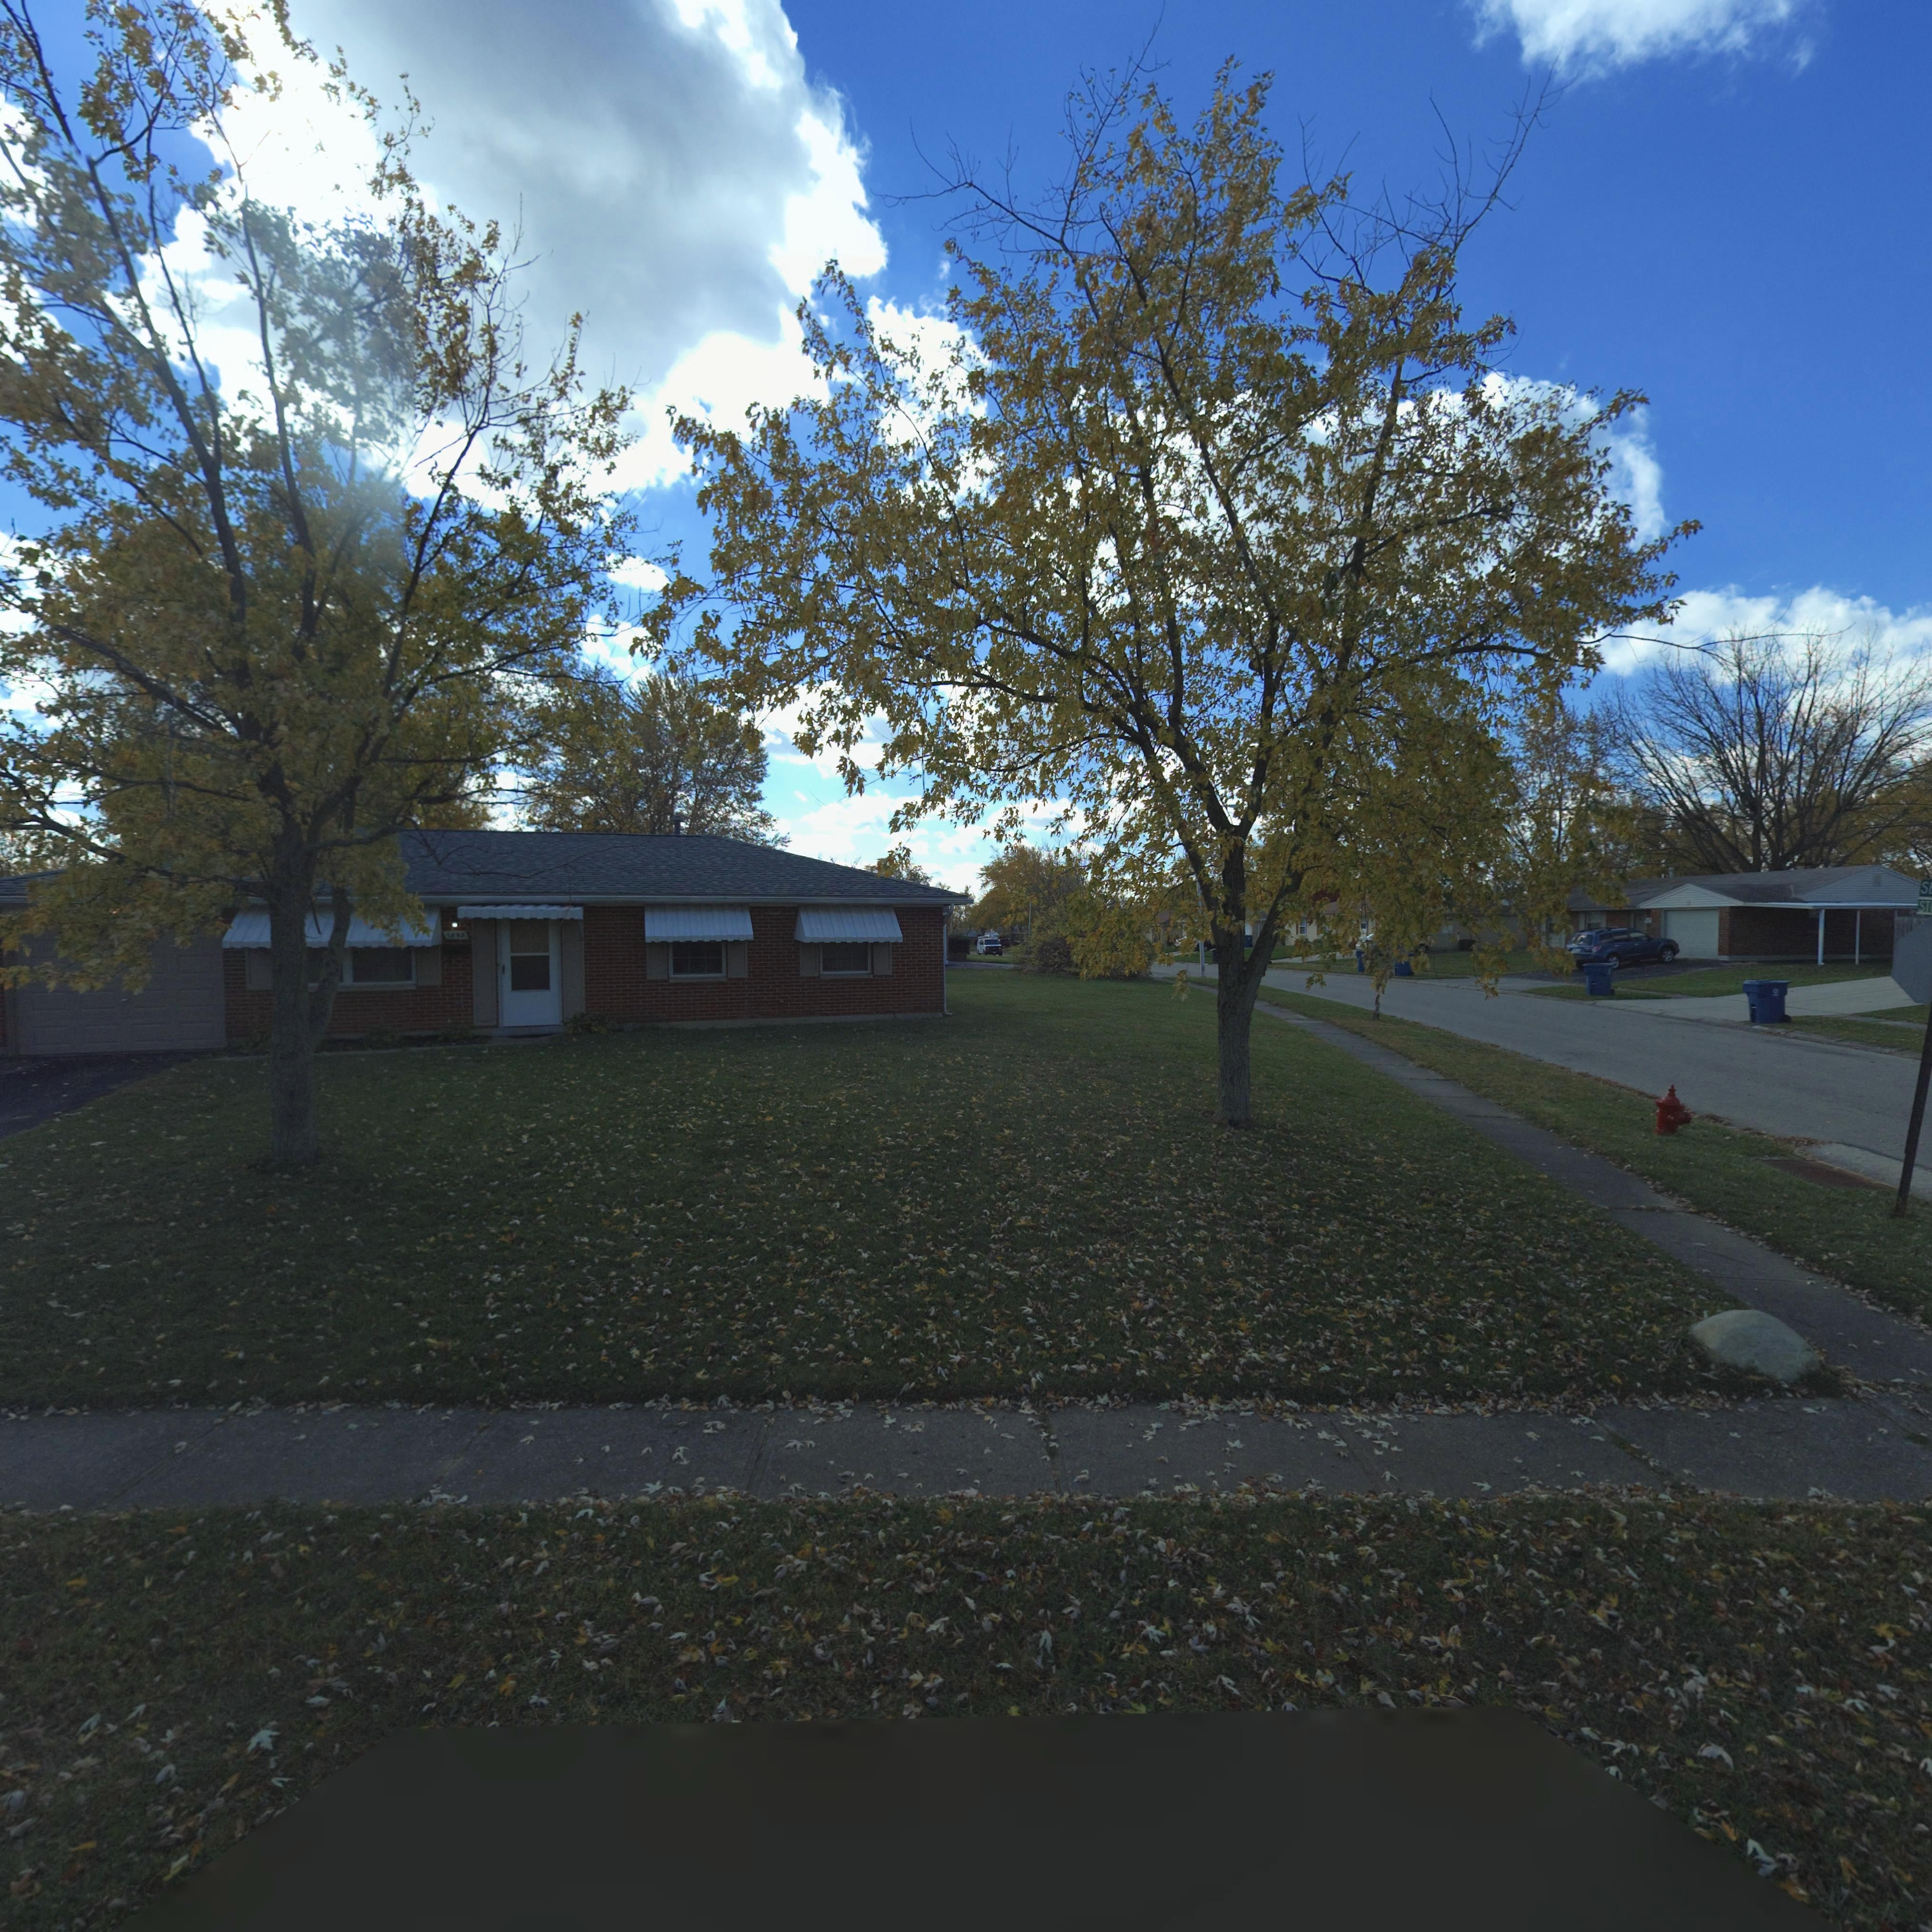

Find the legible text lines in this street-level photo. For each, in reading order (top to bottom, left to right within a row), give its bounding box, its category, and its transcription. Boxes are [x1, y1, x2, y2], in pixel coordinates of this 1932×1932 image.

[445, 932, 465, 938] StreetNumber: 7*98